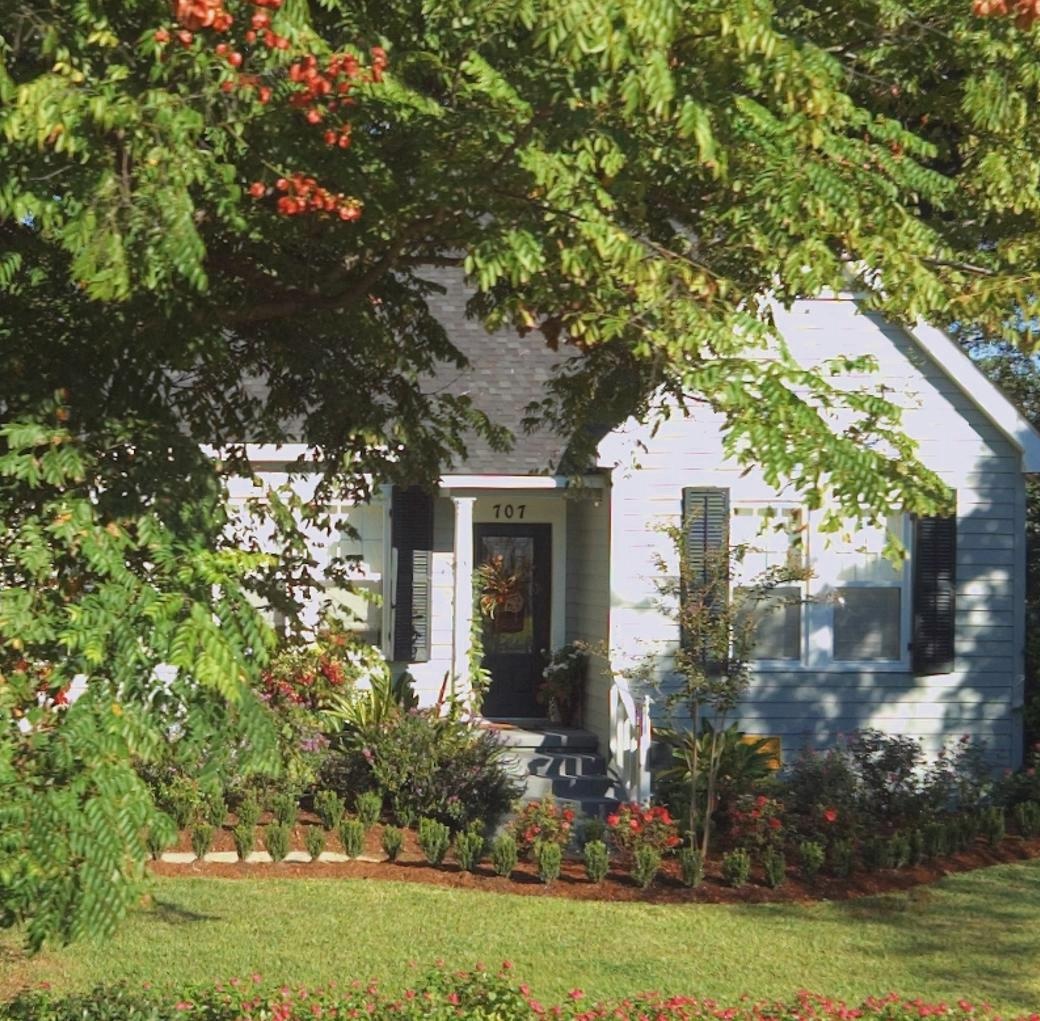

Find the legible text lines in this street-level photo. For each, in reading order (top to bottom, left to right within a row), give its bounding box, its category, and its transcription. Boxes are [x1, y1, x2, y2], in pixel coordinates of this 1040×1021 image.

[491, 504, 528, 519] StreetNumber: 707